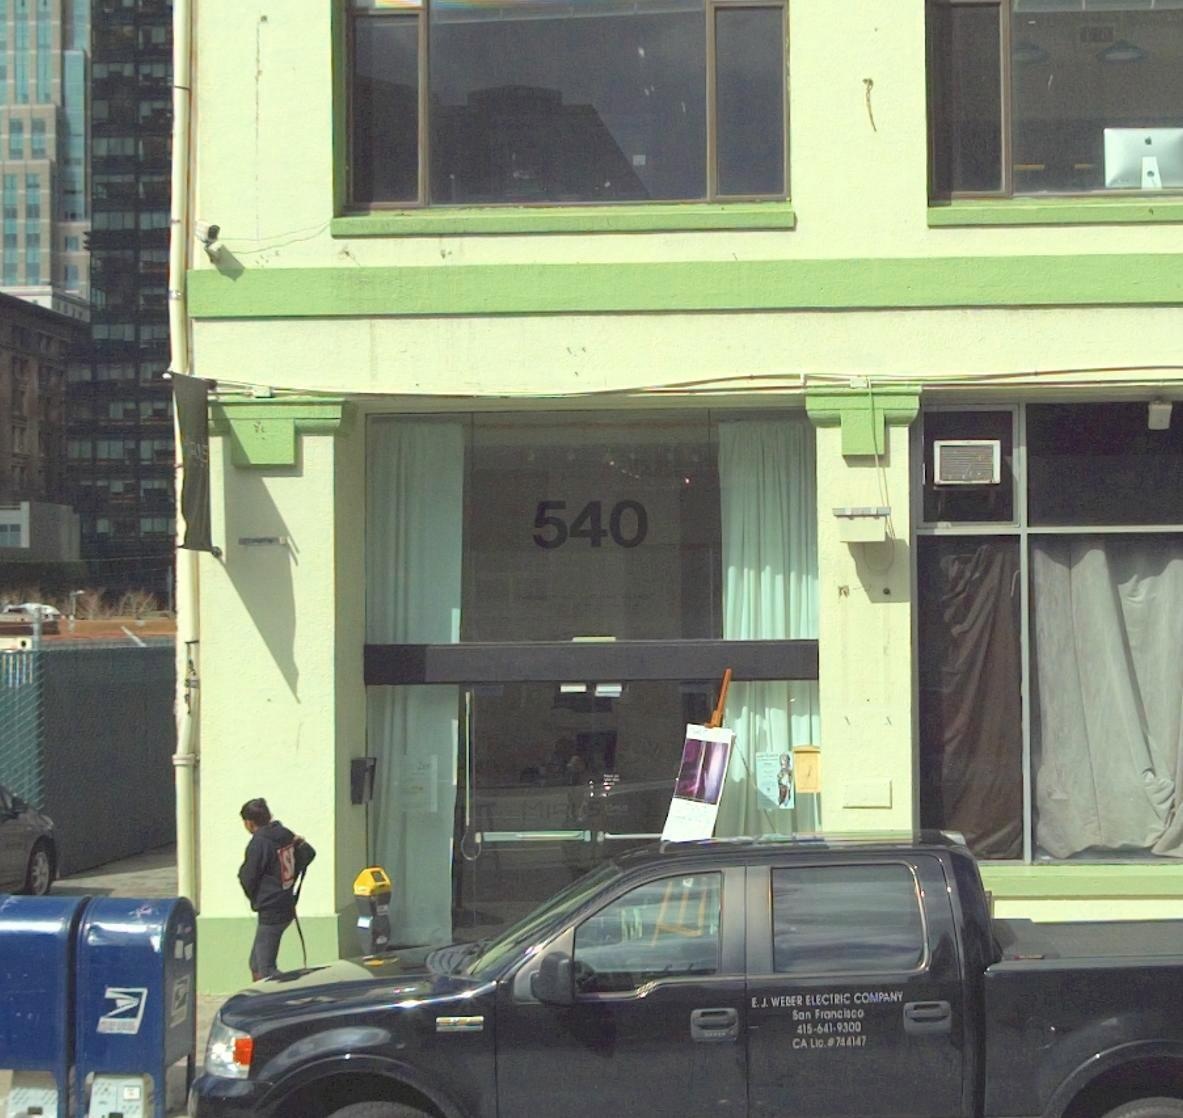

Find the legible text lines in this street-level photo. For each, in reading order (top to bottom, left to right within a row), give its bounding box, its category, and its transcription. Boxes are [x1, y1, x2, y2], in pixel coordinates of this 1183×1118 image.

[533, 498, 650, 549] StreetNumber: 540
[521, 799, 602, 820] None: MI*US
[281, 847, 292, 882] None: S
[751, 990, 905, 1009] None: E.J. WEBER ELECTRIC COMPANY
[791, 1007, 865, 1022] None: San Francisco
[796, 1021, 862, 1034] None: 415-641-9300
[791, 1034, 866, 1049] None: CA Lic. *744147